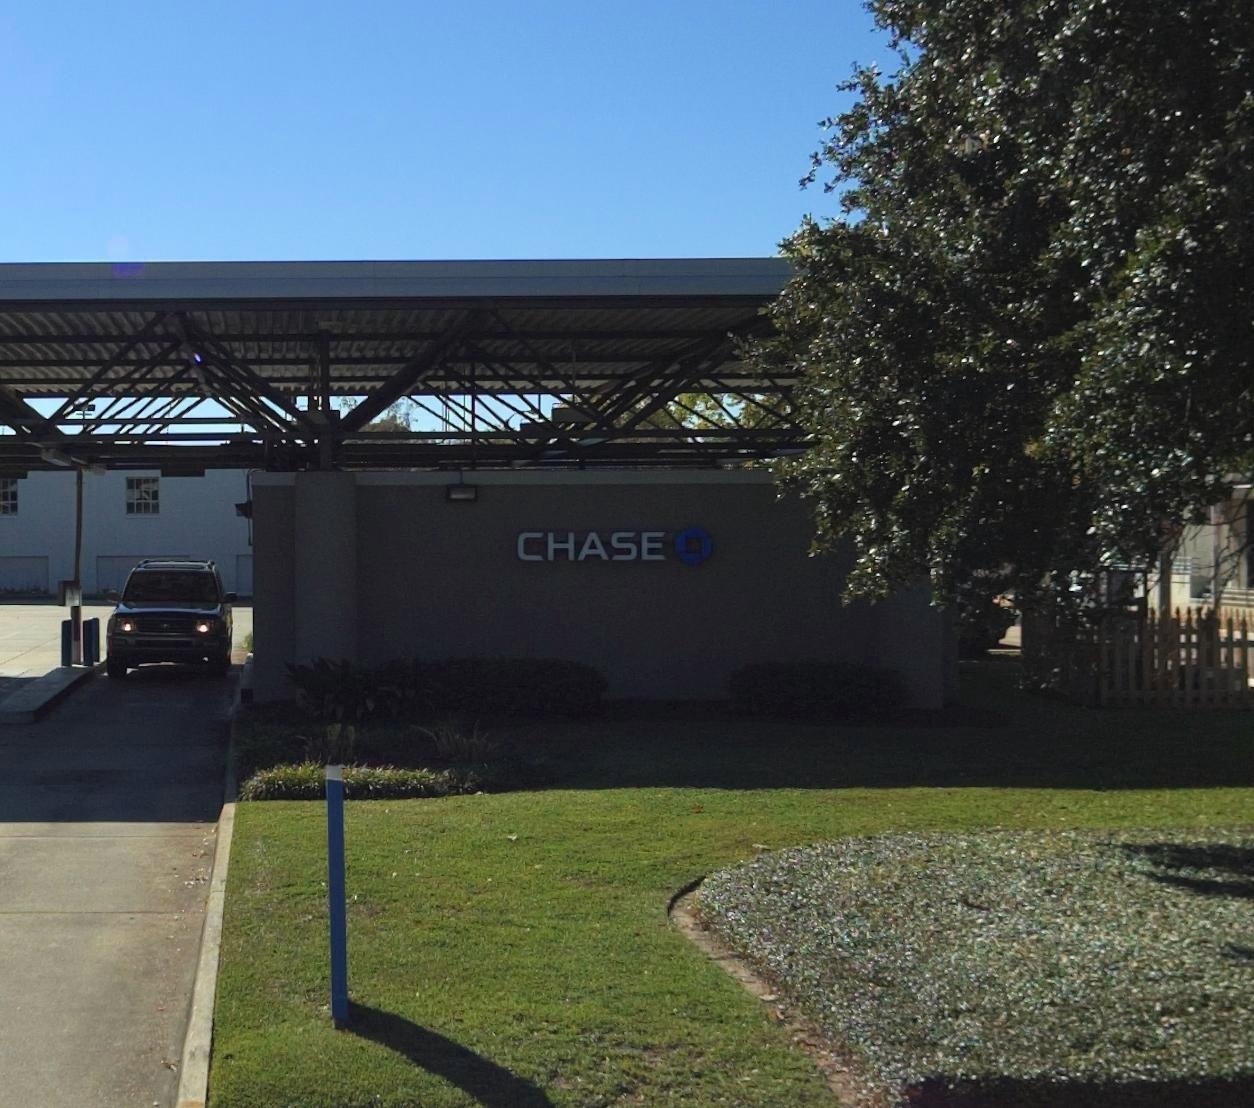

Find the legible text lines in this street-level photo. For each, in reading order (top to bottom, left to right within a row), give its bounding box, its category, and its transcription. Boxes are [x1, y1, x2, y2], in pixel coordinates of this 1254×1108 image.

[515, 530, 668, 563] BusinessName: CHASE